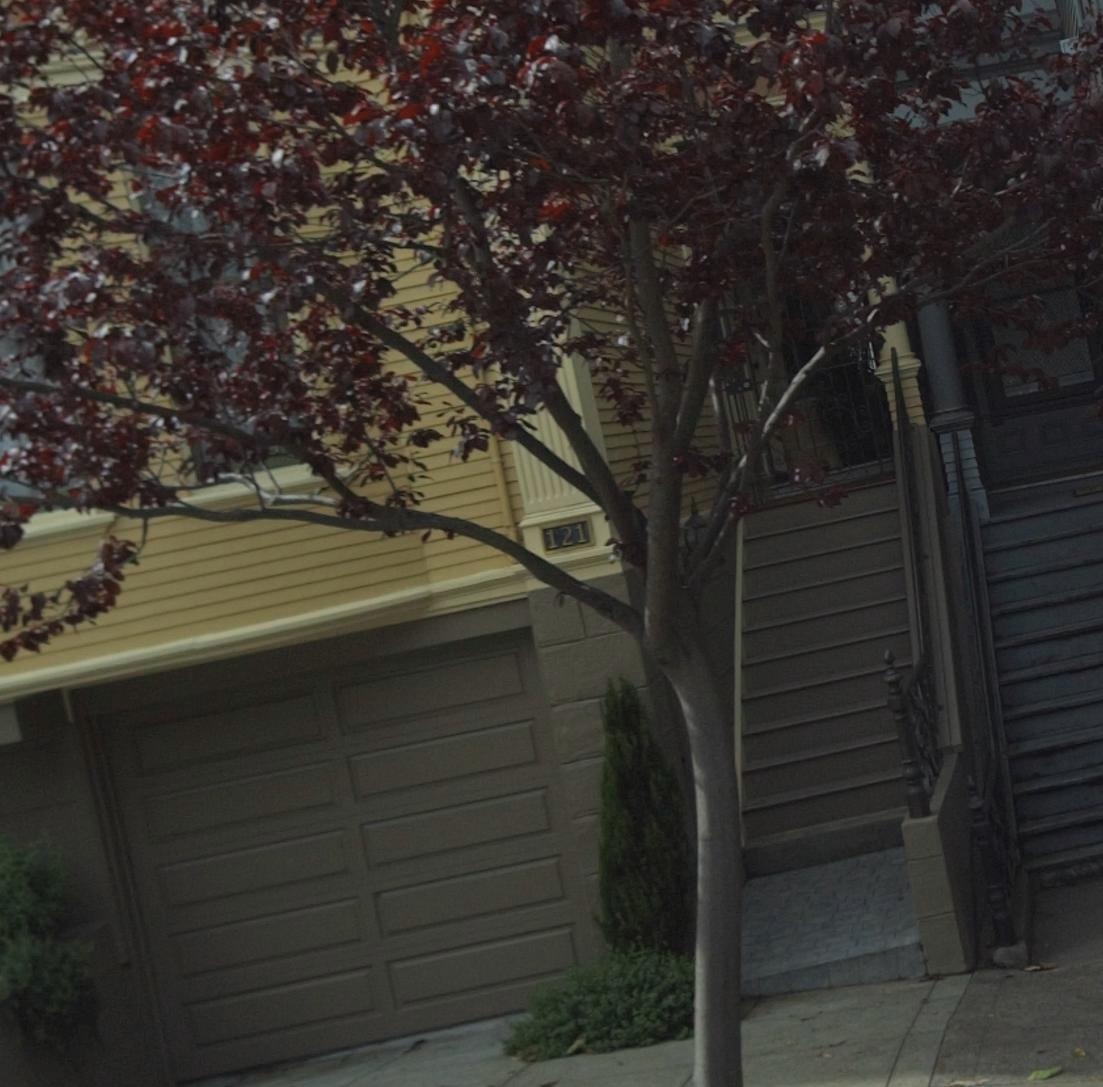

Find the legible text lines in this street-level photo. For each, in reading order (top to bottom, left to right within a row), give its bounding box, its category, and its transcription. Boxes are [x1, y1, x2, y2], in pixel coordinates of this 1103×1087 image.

[543, 520, 590, 553] StreetNumber: 121